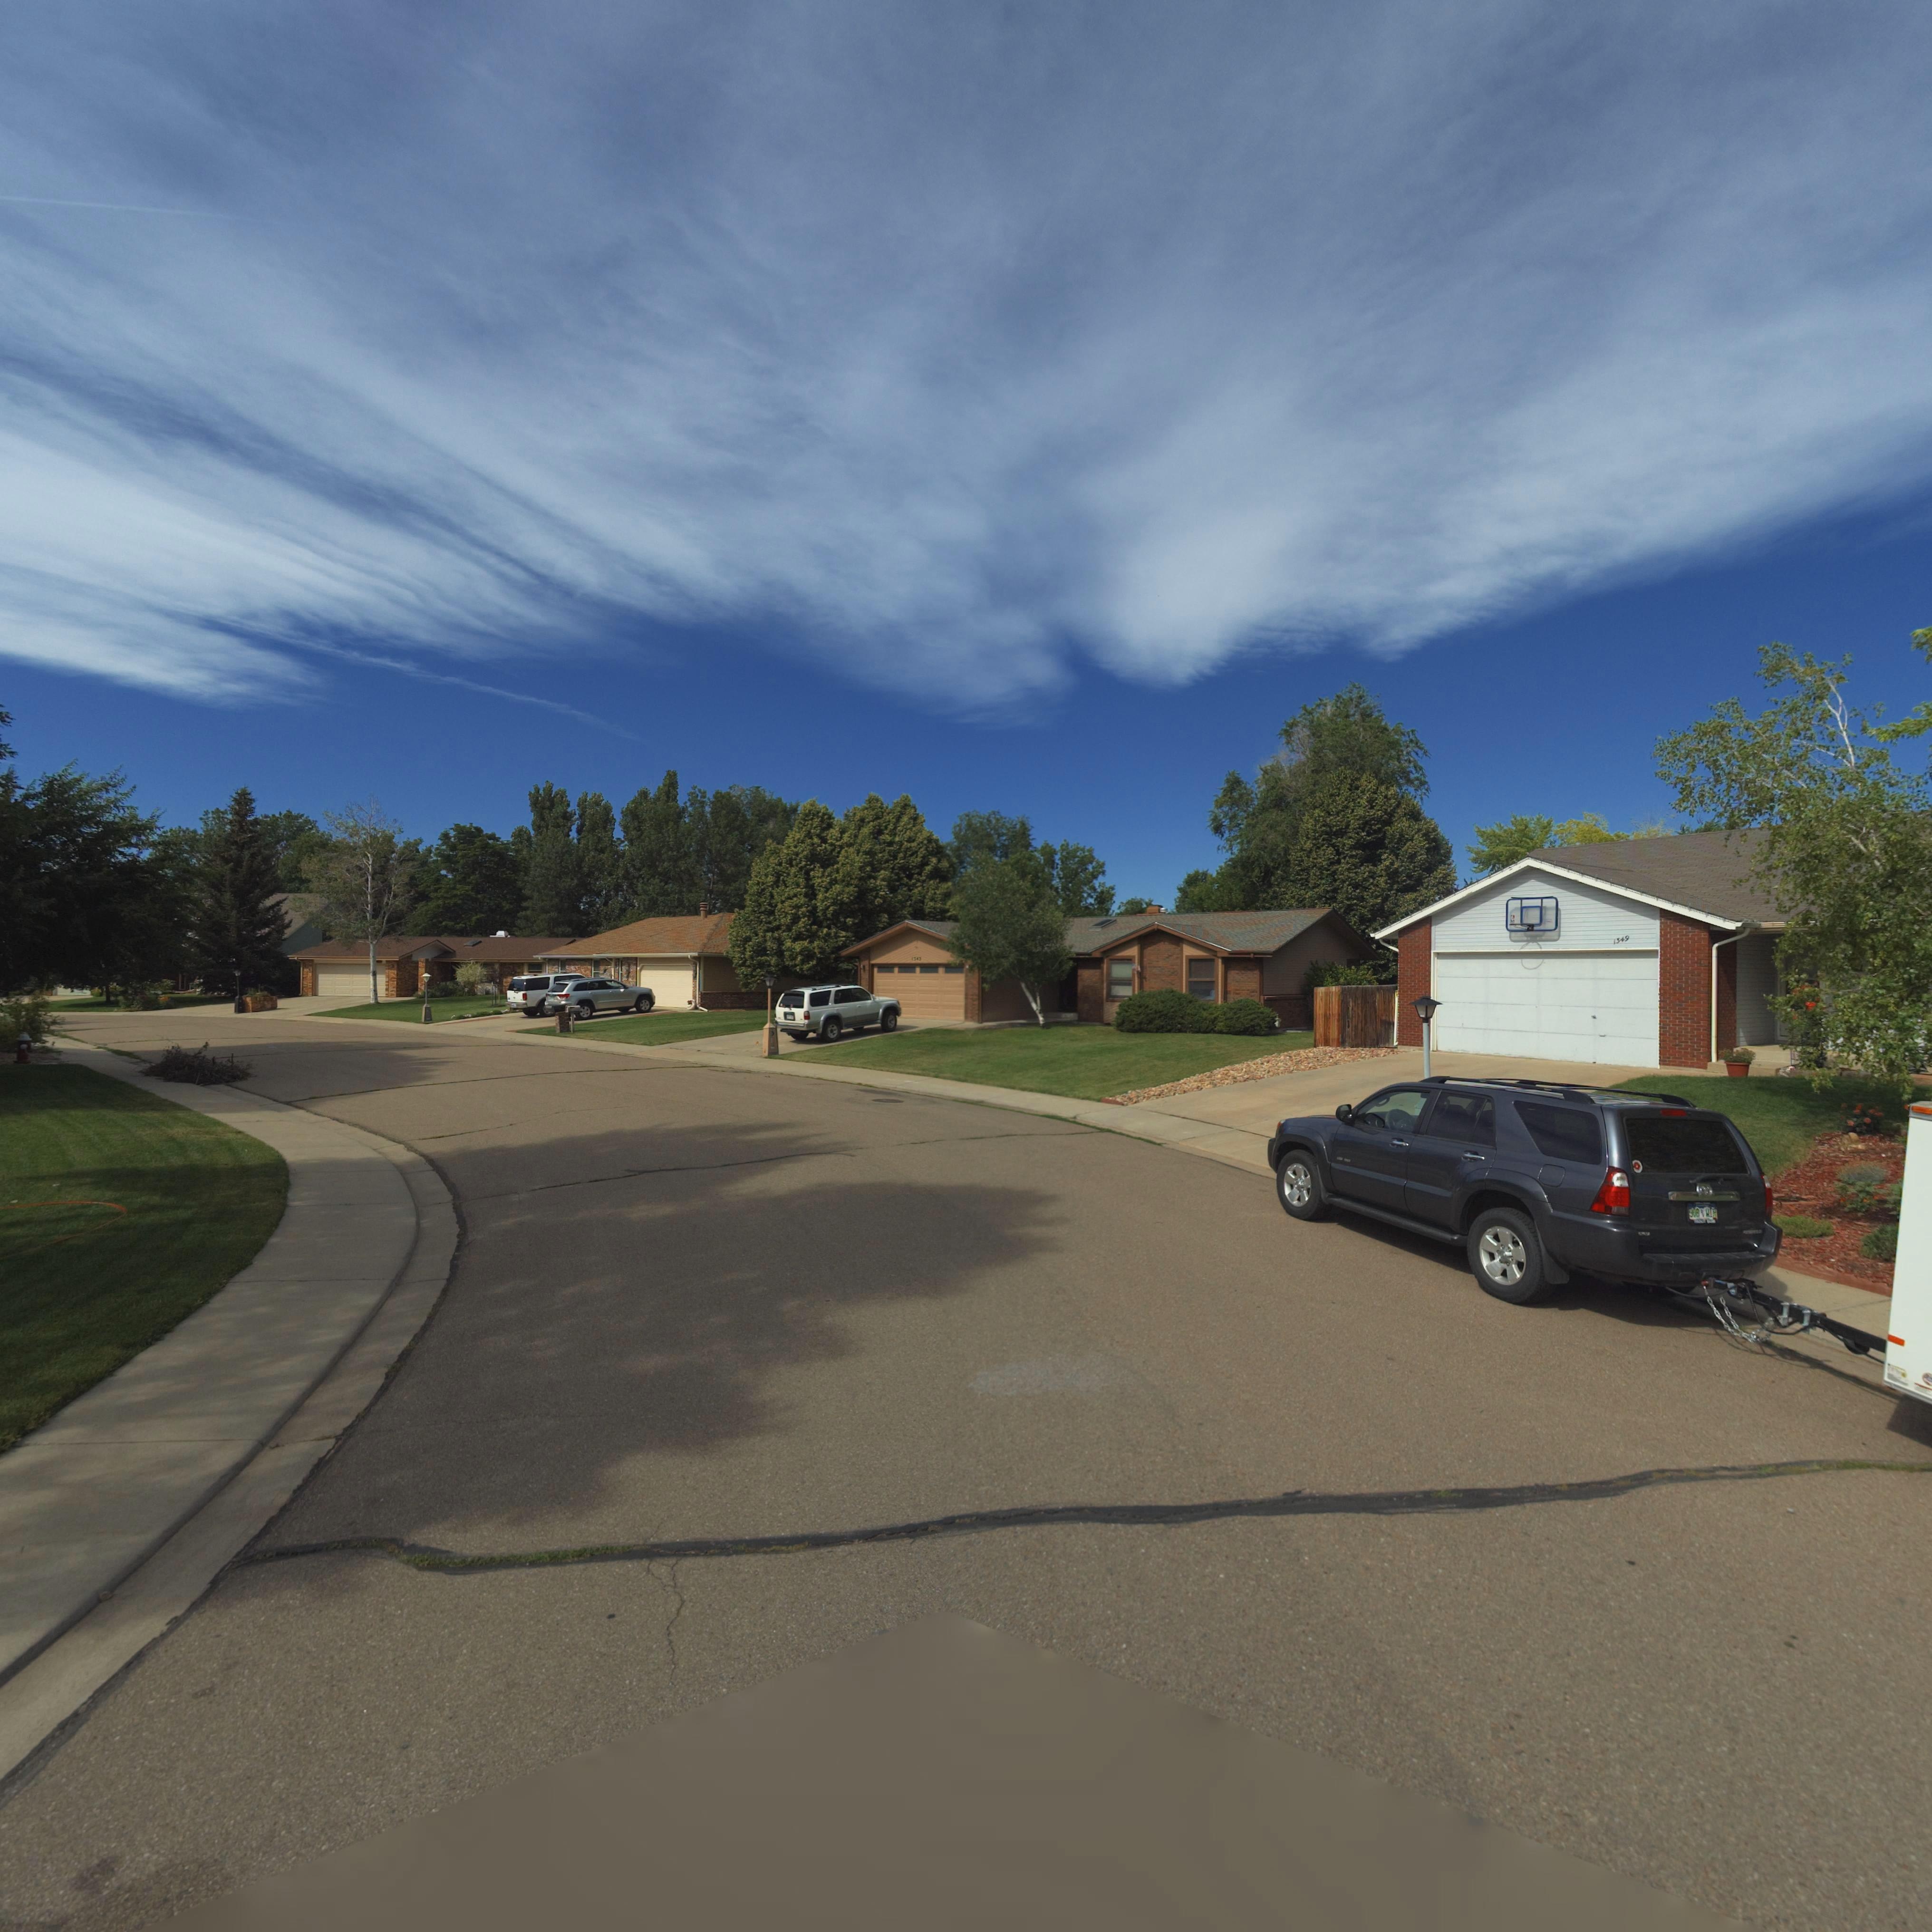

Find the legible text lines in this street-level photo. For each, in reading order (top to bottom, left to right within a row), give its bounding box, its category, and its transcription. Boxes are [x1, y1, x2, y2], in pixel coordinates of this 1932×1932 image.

[1613, 935, 1630, 945] StreetNumber: 1349
[911, 956, 921, 961] StreetNumber: 1343